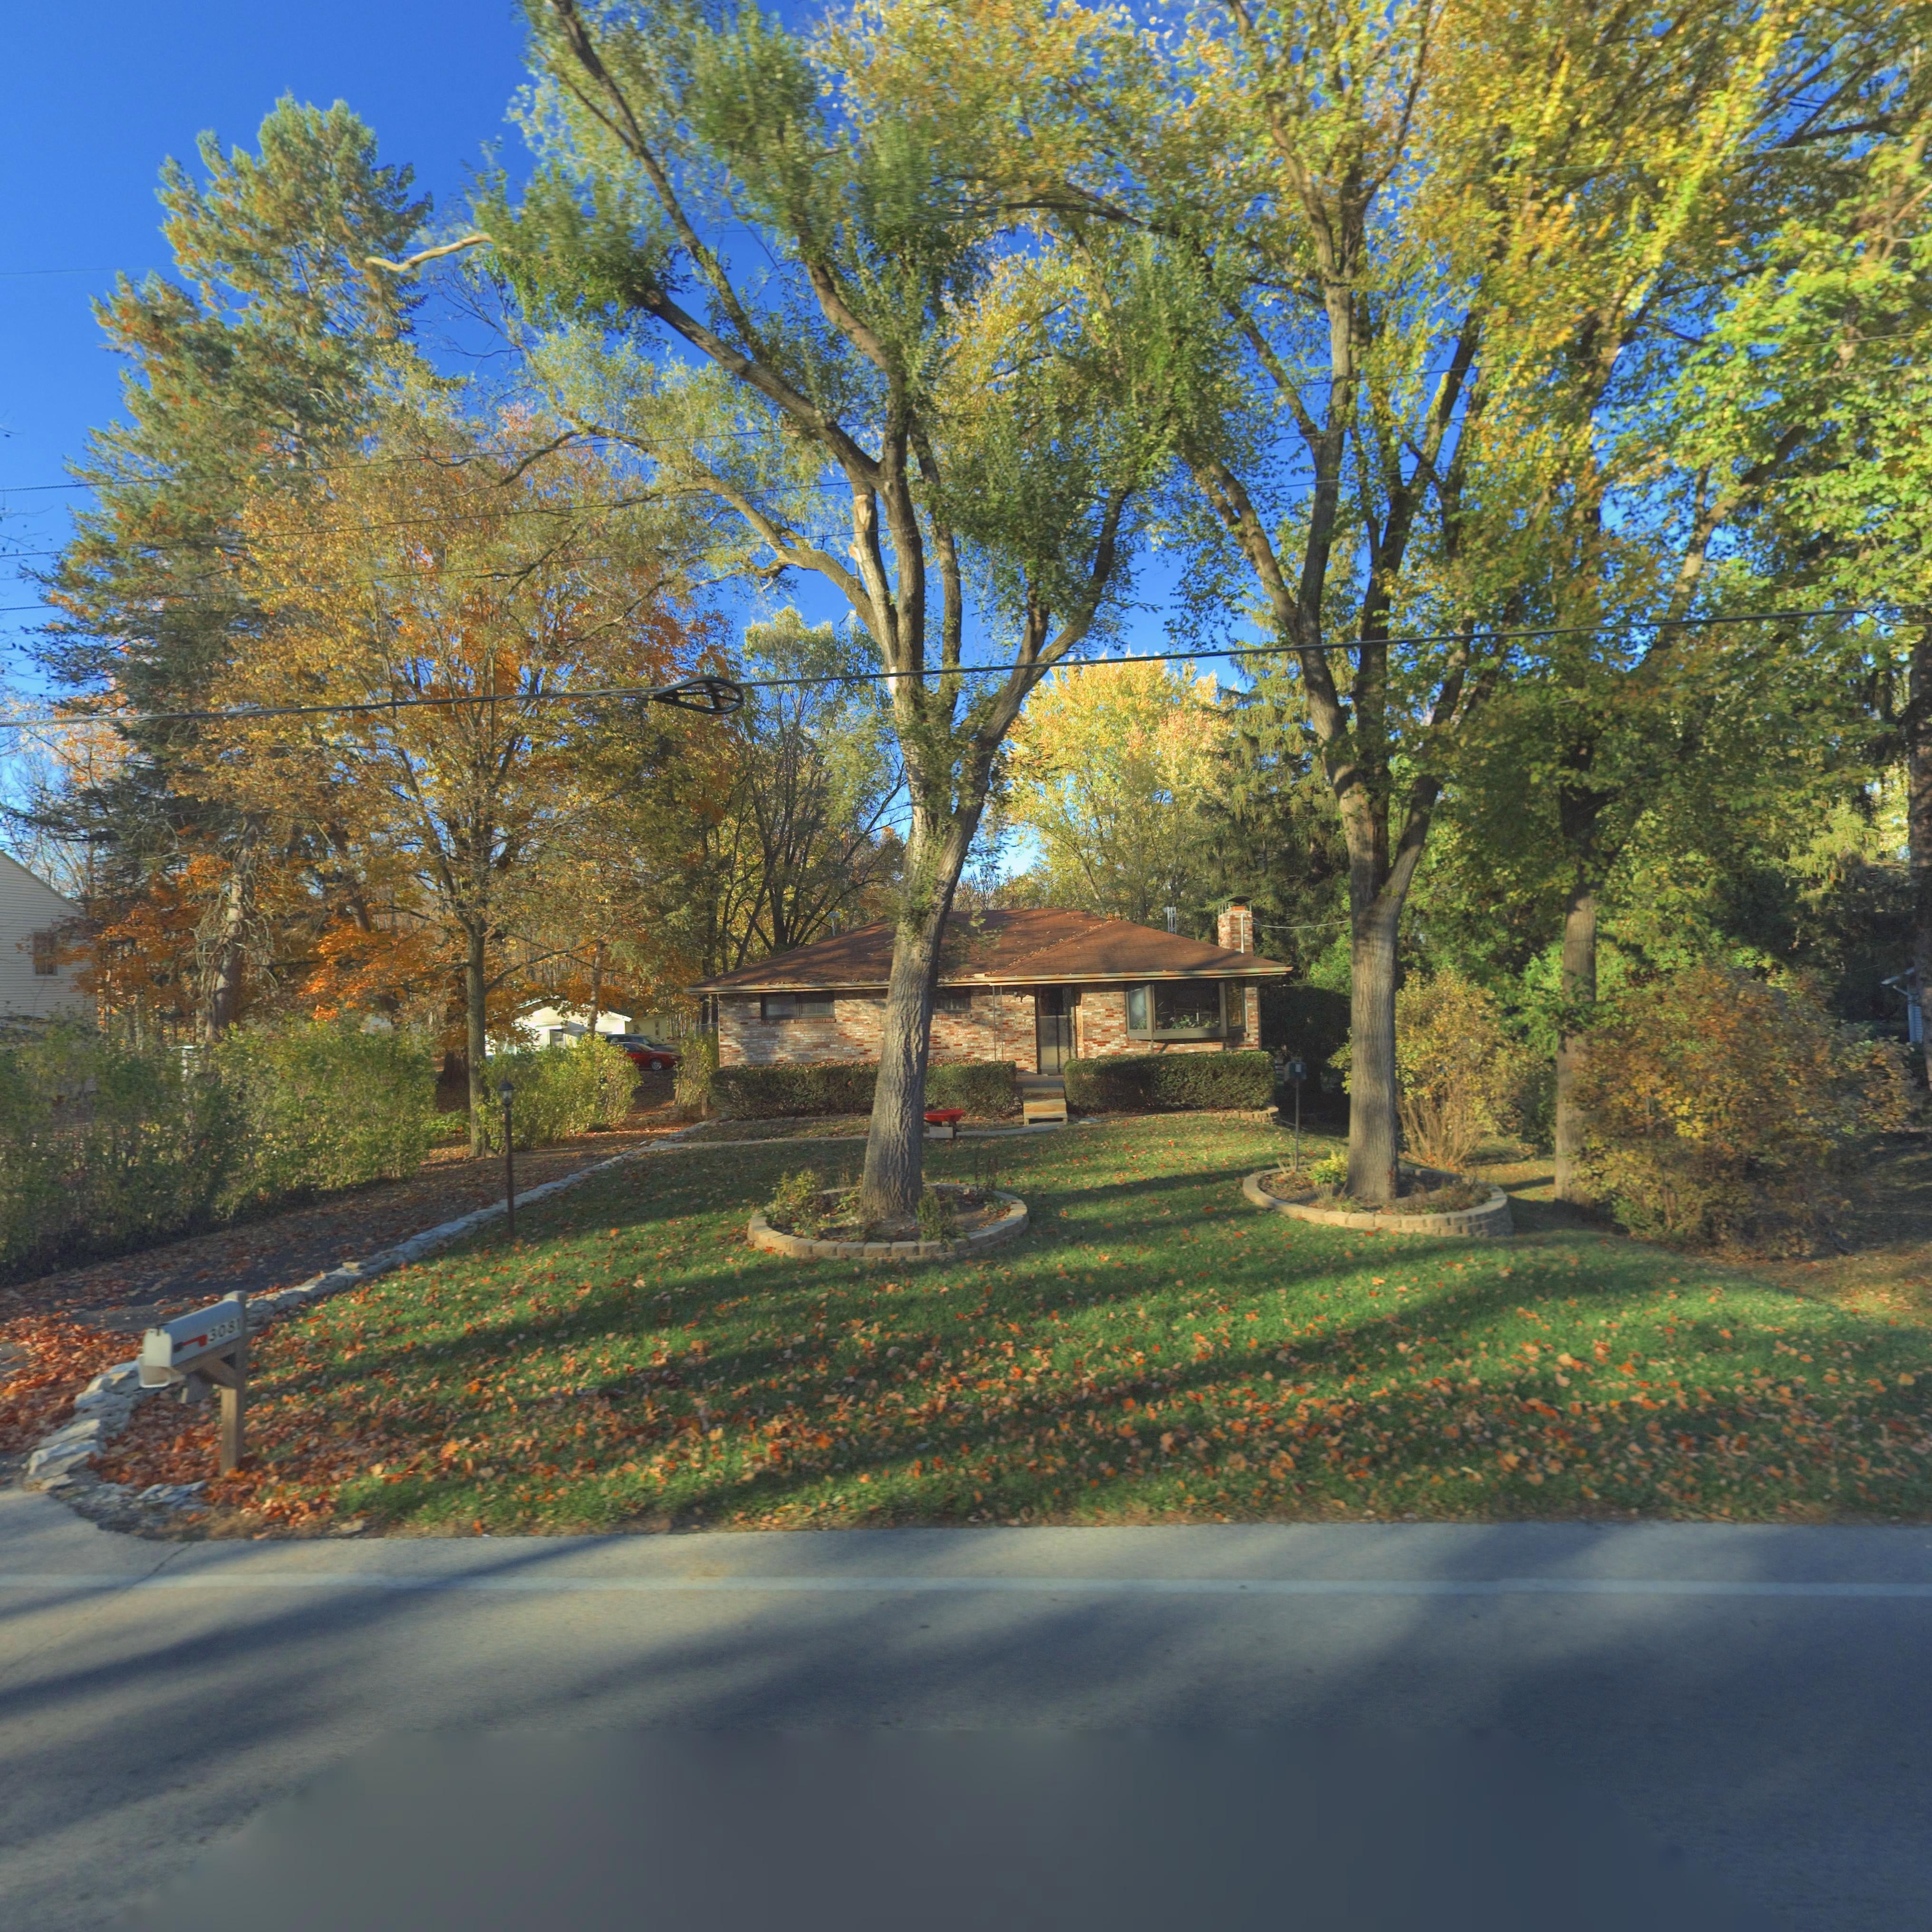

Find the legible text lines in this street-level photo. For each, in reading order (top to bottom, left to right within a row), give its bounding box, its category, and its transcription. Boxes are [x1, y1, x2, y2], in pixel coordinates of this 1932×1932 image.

[207, 1315, 242, 1344] StreetNumber: 3081